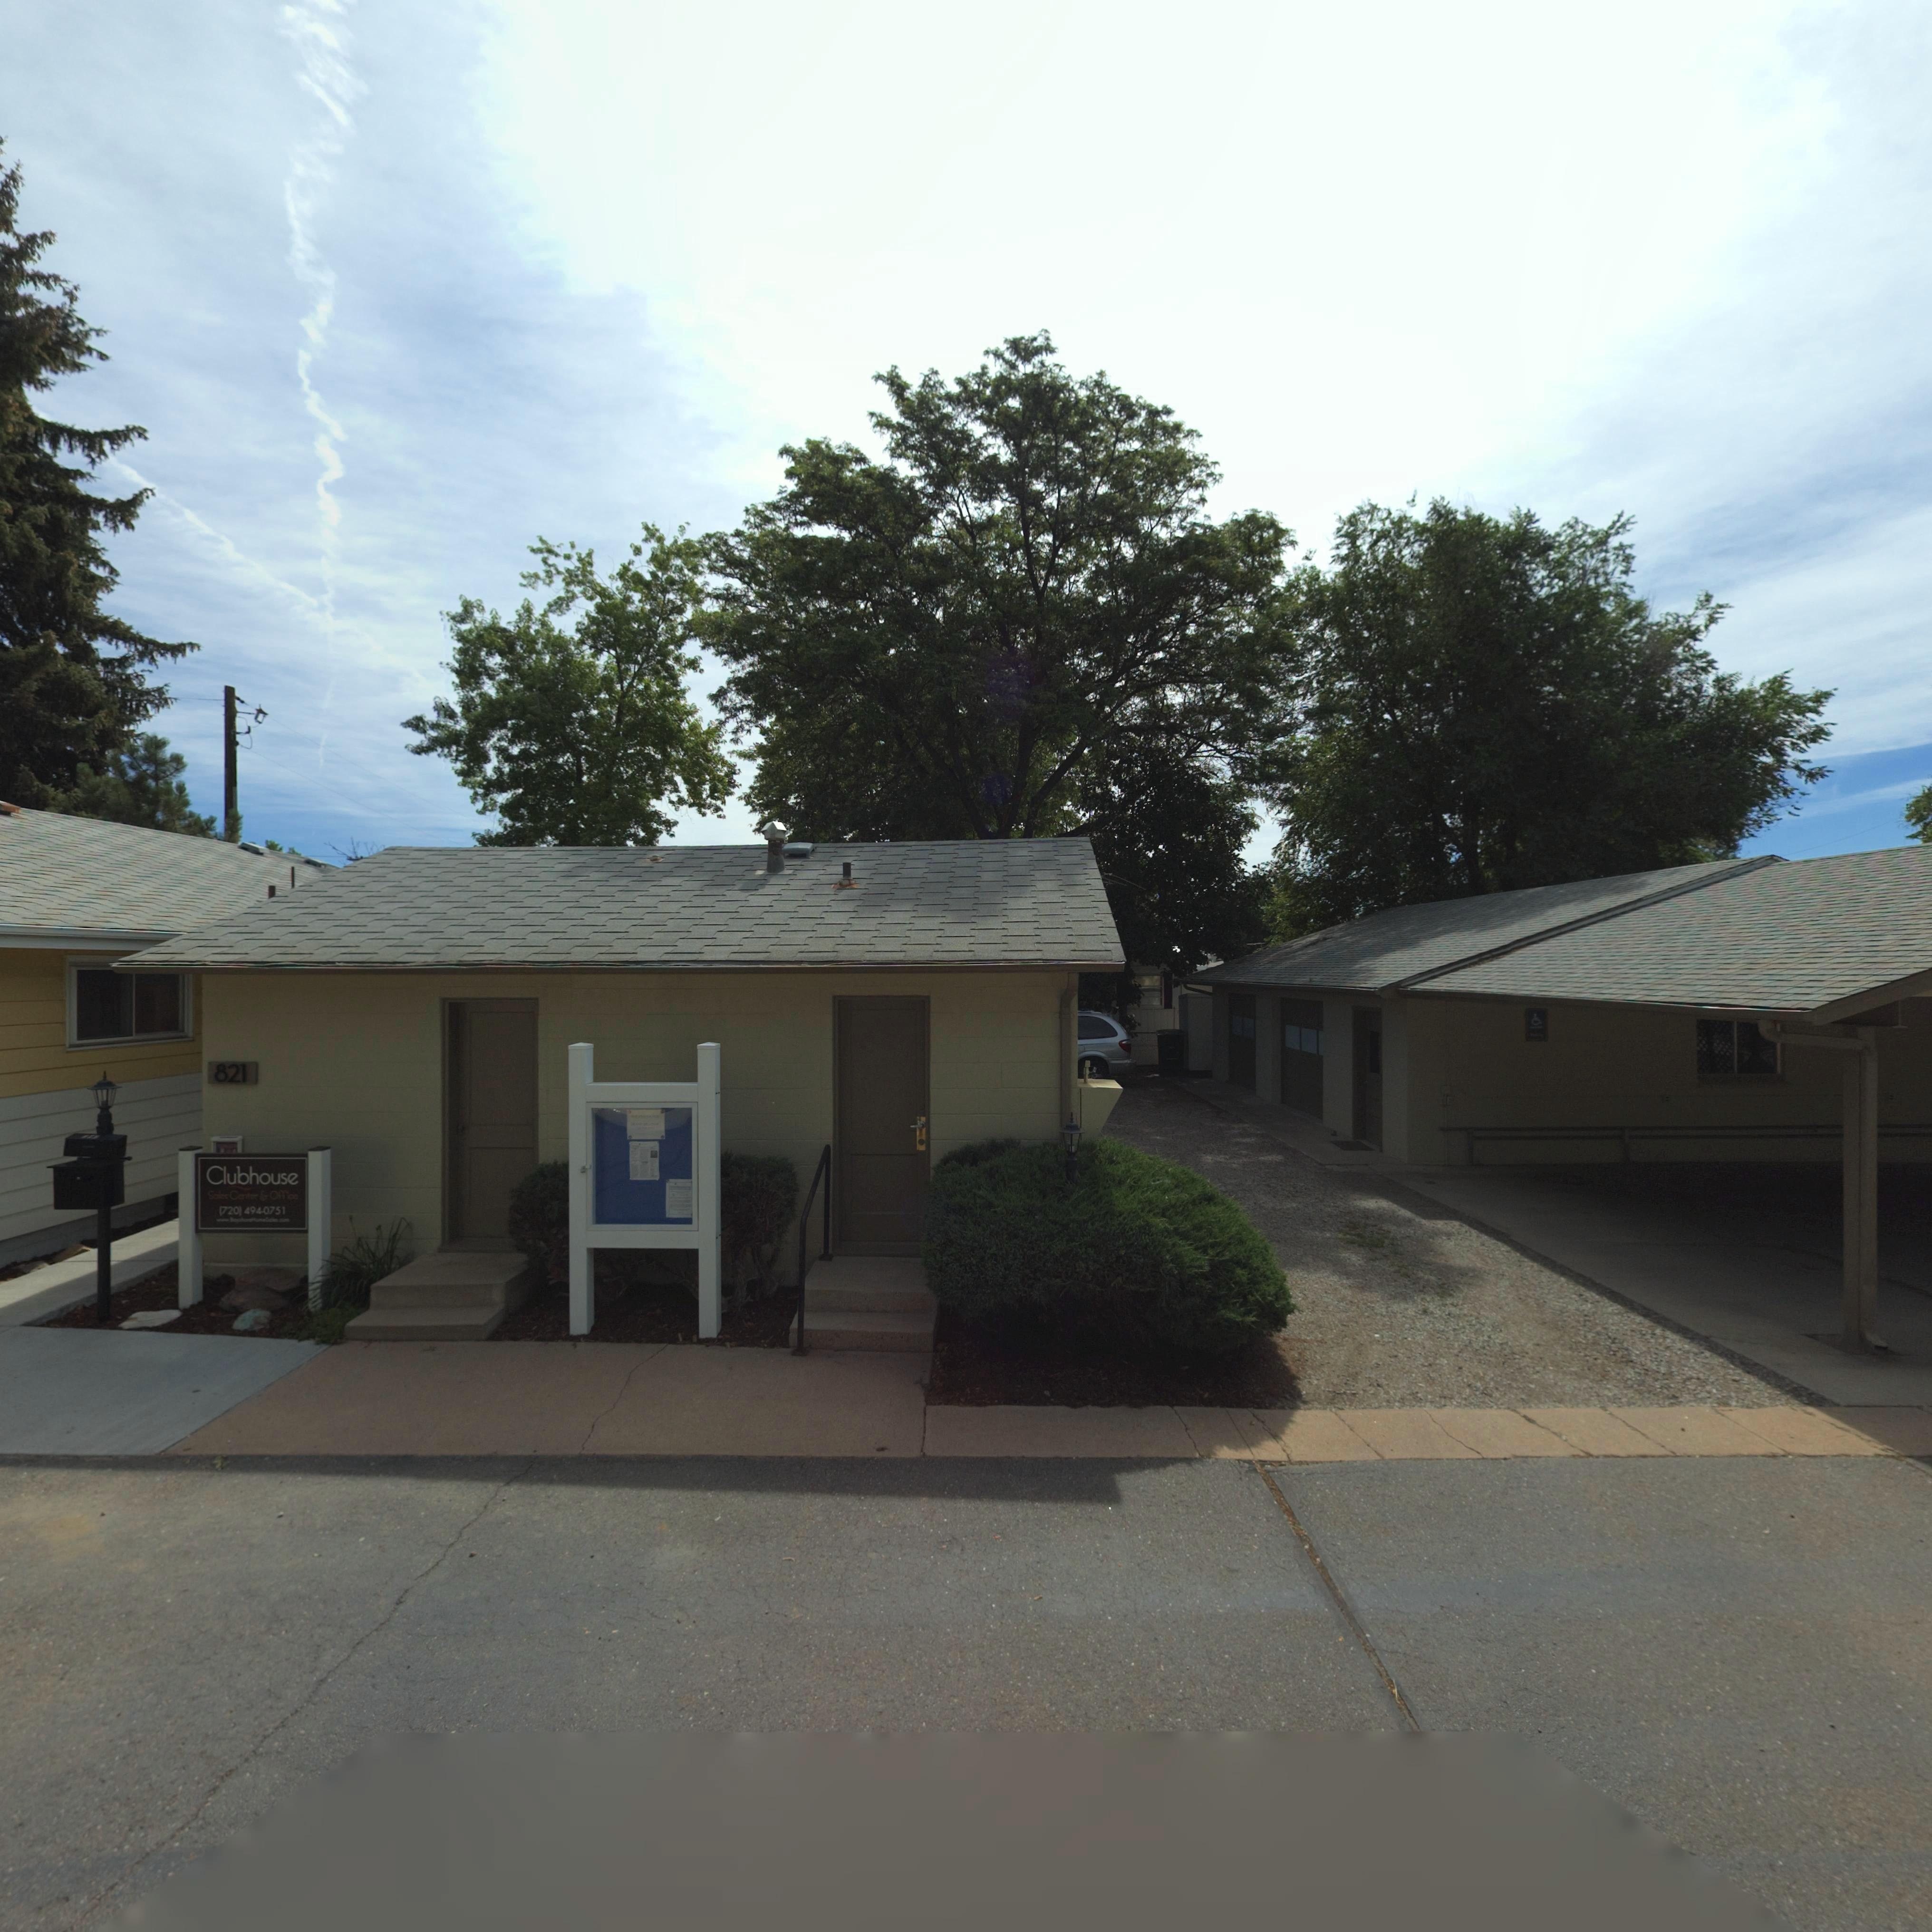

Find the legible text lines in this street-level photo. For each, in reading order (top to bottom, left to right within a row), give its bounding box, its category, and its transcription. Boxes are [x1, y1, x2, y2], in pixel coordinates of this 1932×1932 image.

[213, 1063, 247, 1083] StreetNumber: 821